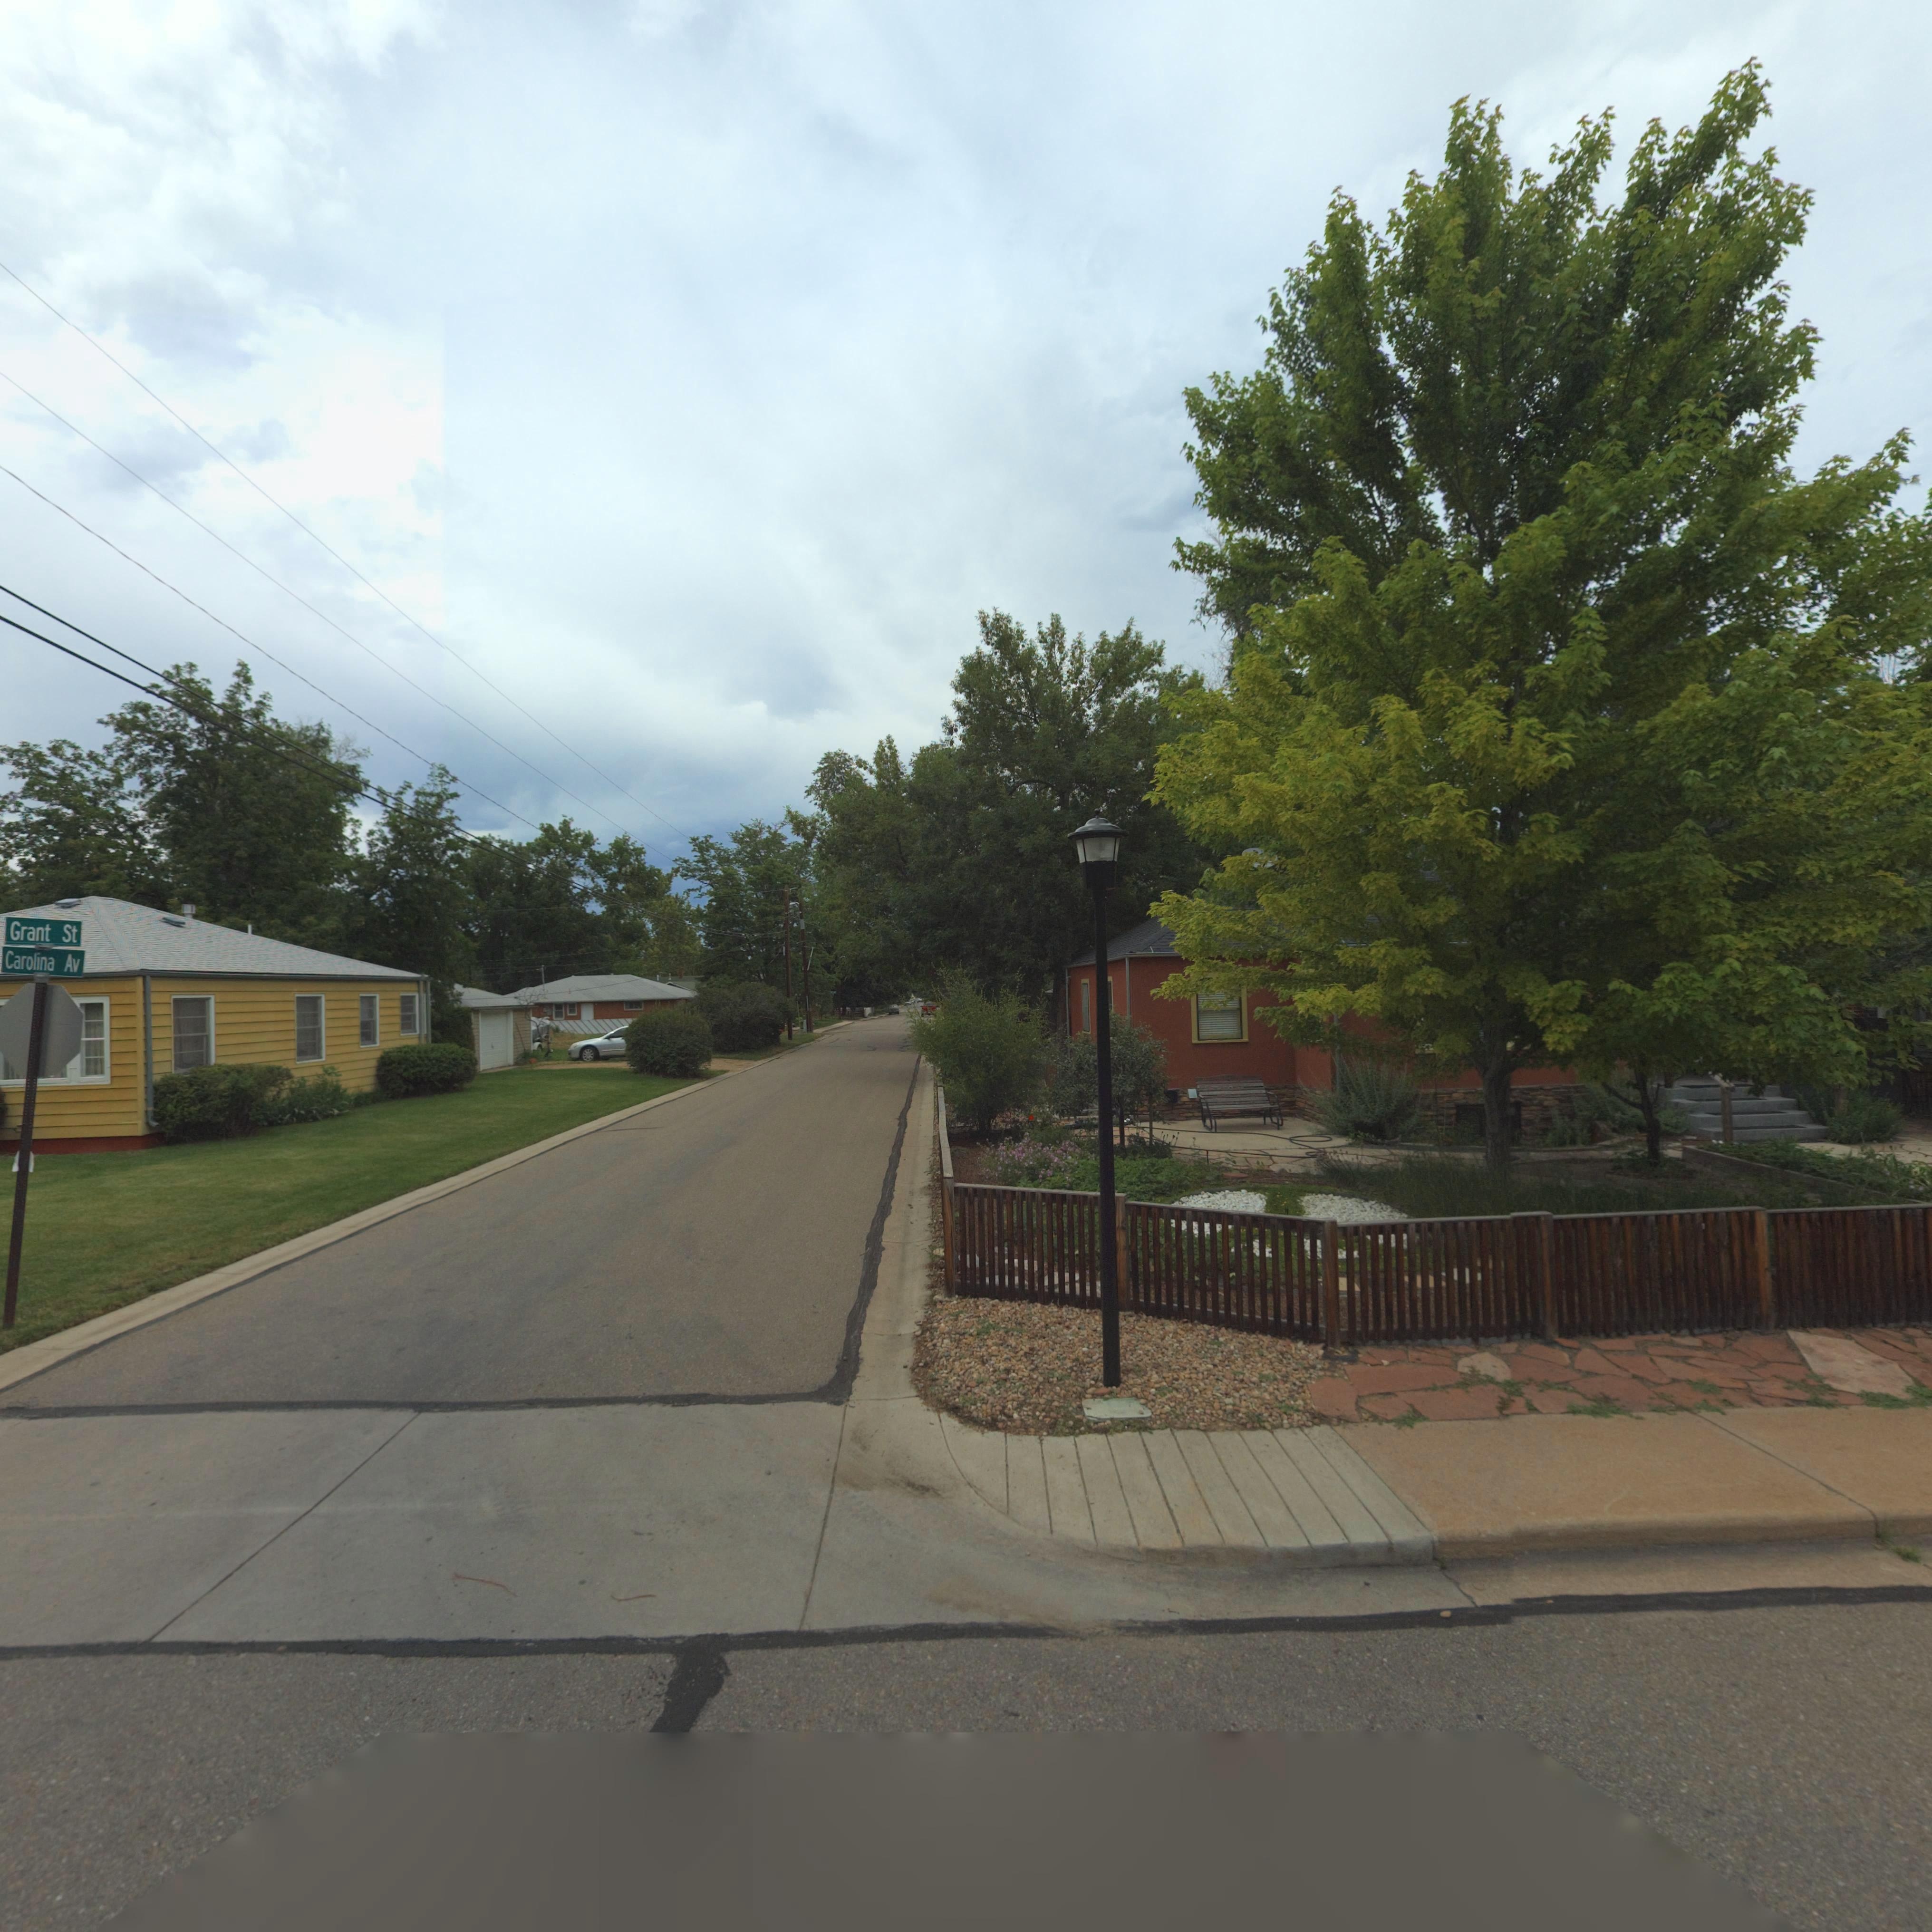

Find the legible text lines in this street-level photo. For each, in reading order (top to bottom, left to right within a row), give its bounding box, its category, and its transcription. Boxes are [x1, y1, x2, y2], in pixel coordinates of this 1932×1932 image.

[10, 921, 77, 942] StreetName: Grant St
[5, 950, 80, 972] StreetName: Carolina Av